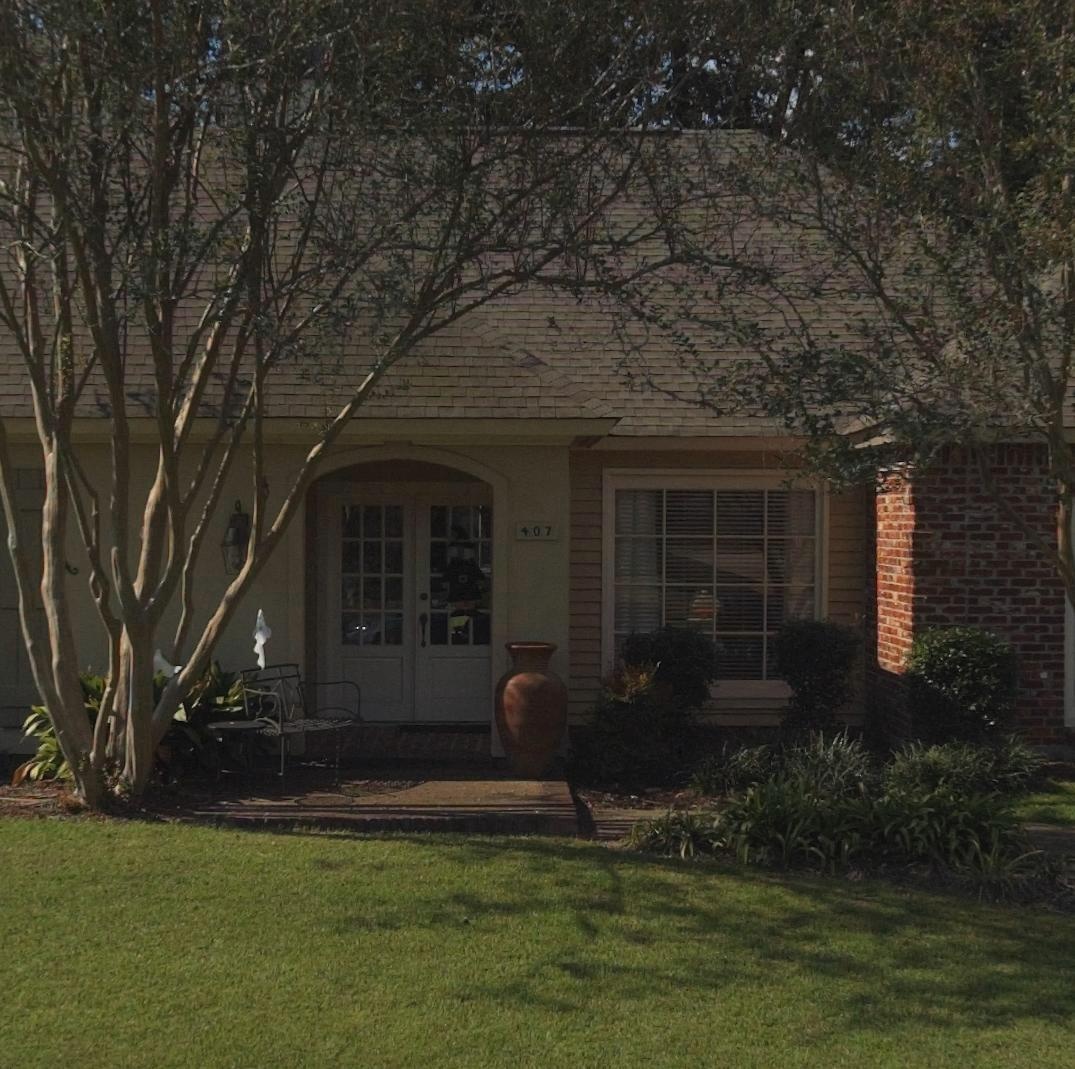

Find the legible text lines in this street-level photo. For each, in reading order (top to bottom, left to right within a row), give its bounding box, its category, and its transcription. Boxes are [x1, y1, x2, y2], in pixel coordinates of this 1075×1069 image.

[520, 525, 553, 537] StreetNumber: 407